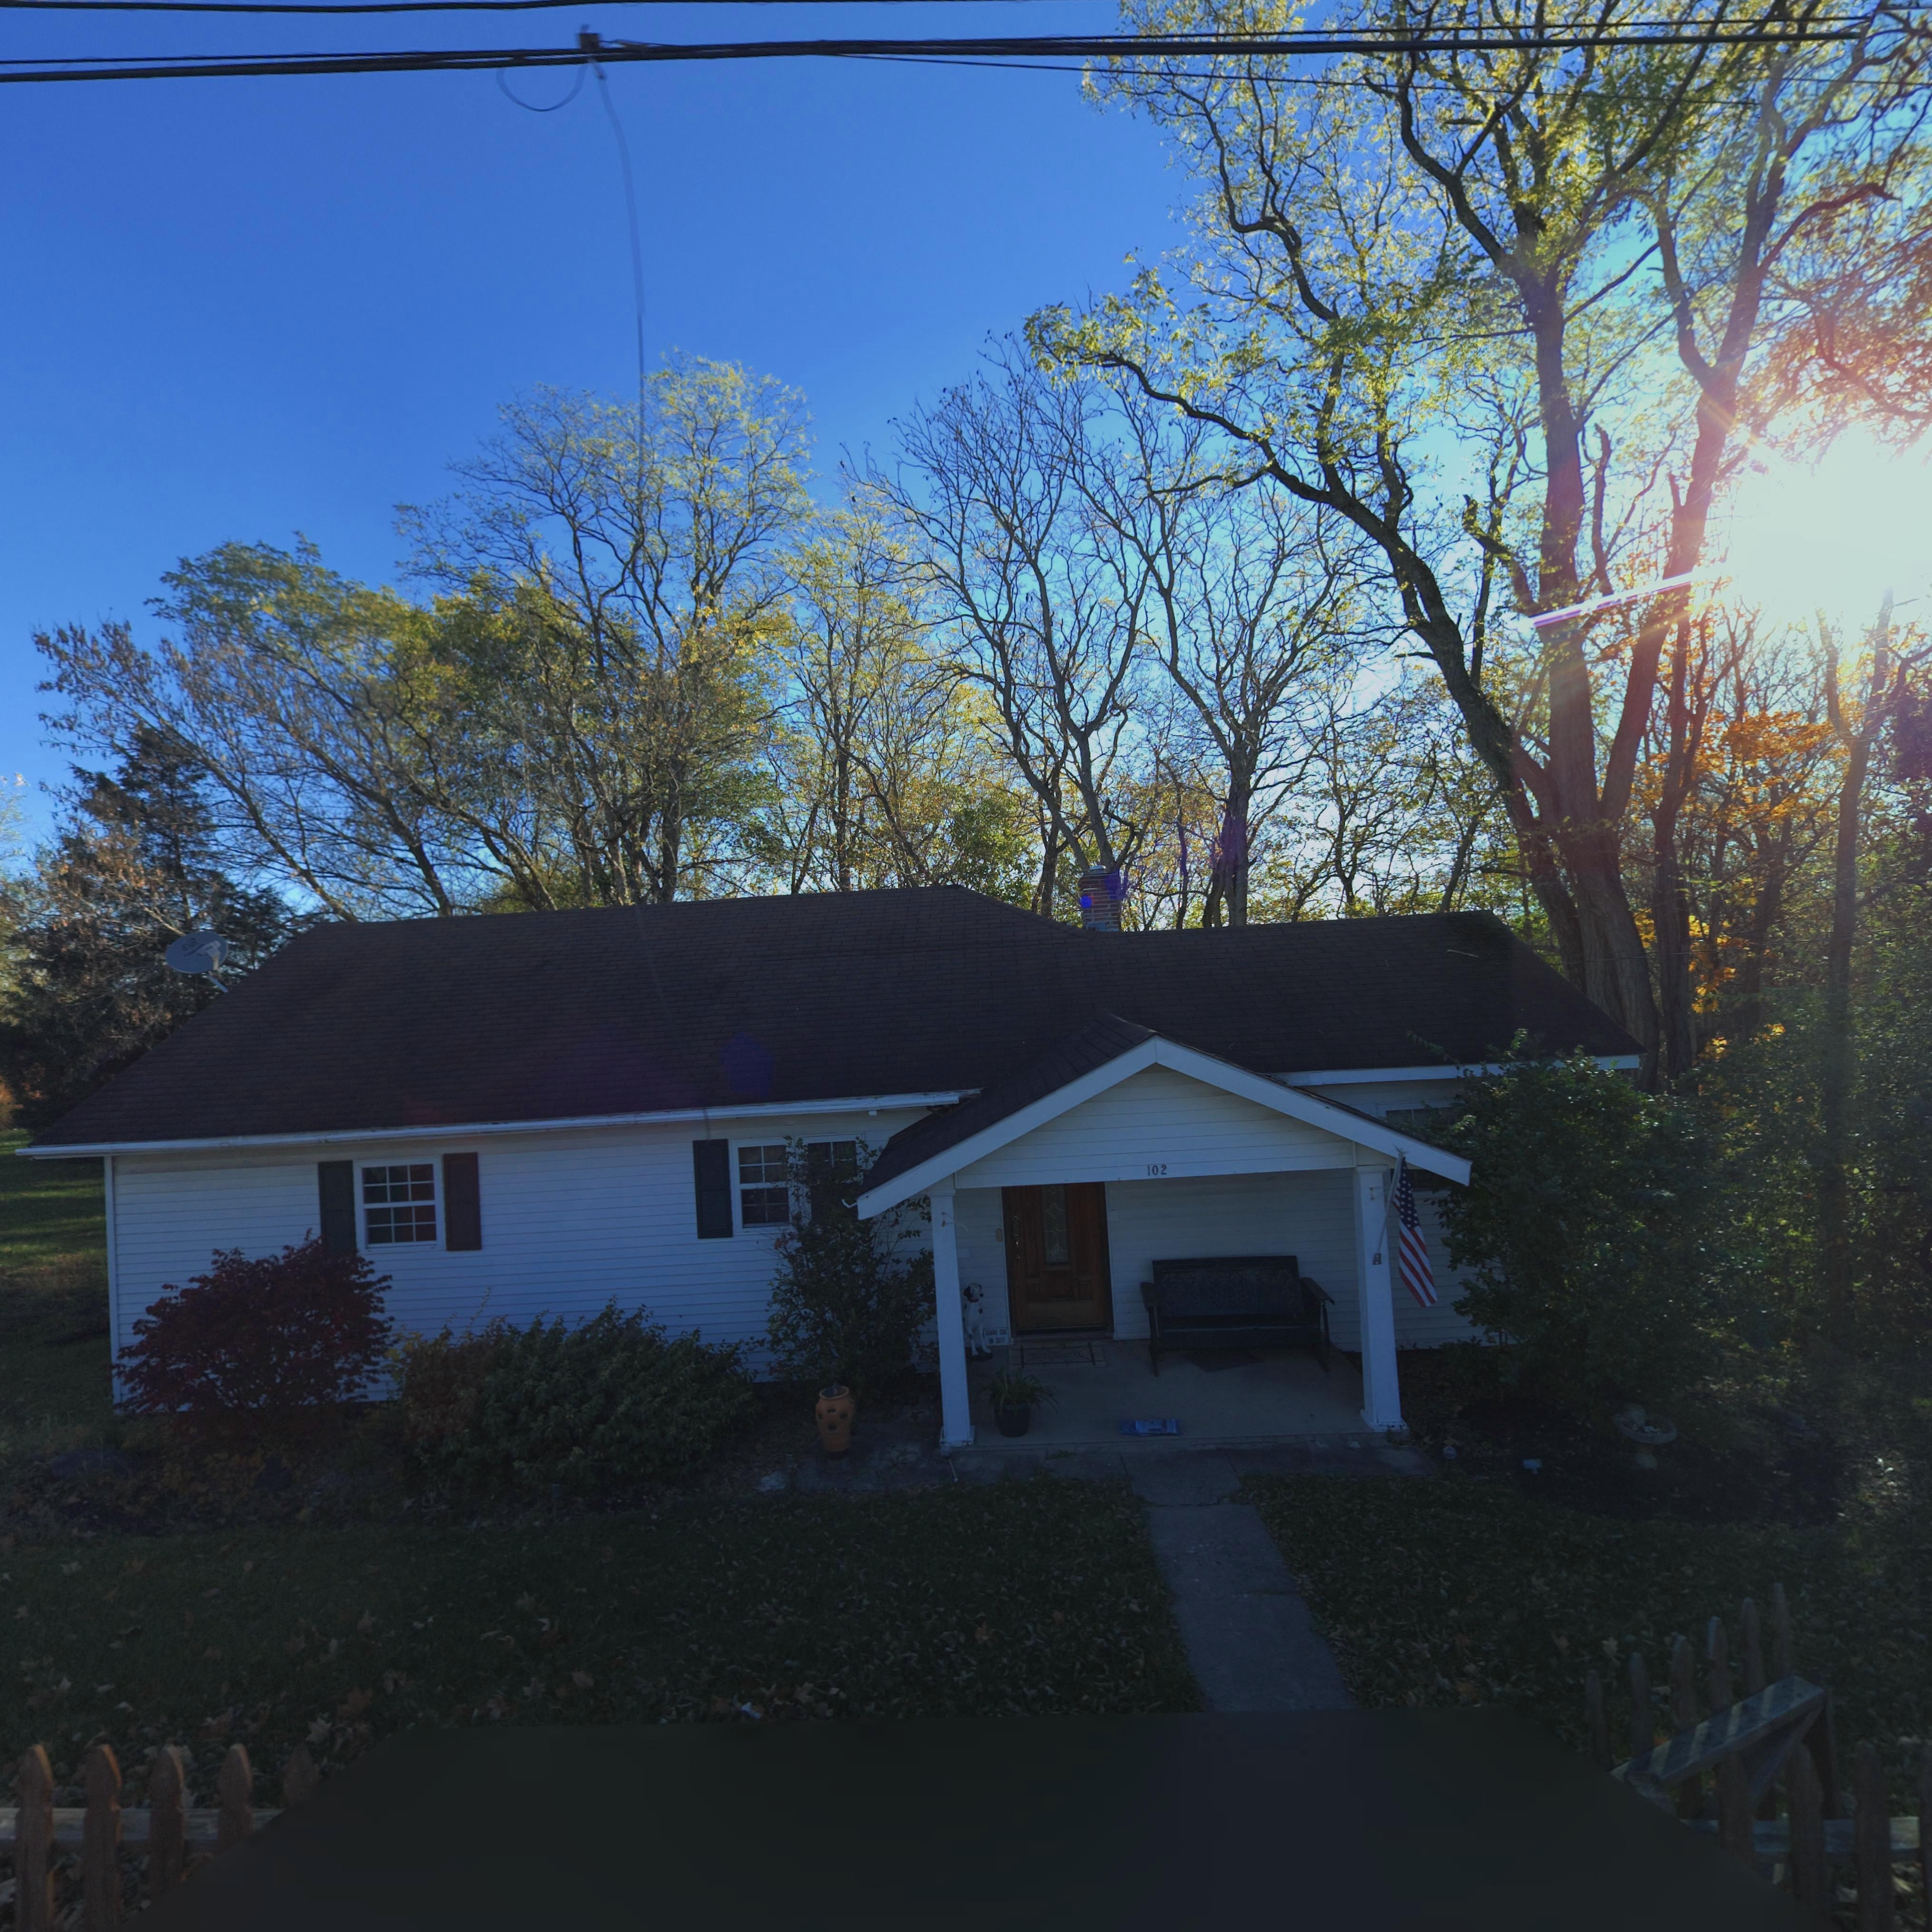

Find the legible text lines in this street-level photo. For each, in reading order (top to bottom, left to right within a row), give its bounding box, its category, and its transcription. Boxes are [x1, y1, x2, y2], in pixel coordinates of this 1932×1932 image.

[1147, 1164, 1167, 1177] StreetNumber: 102